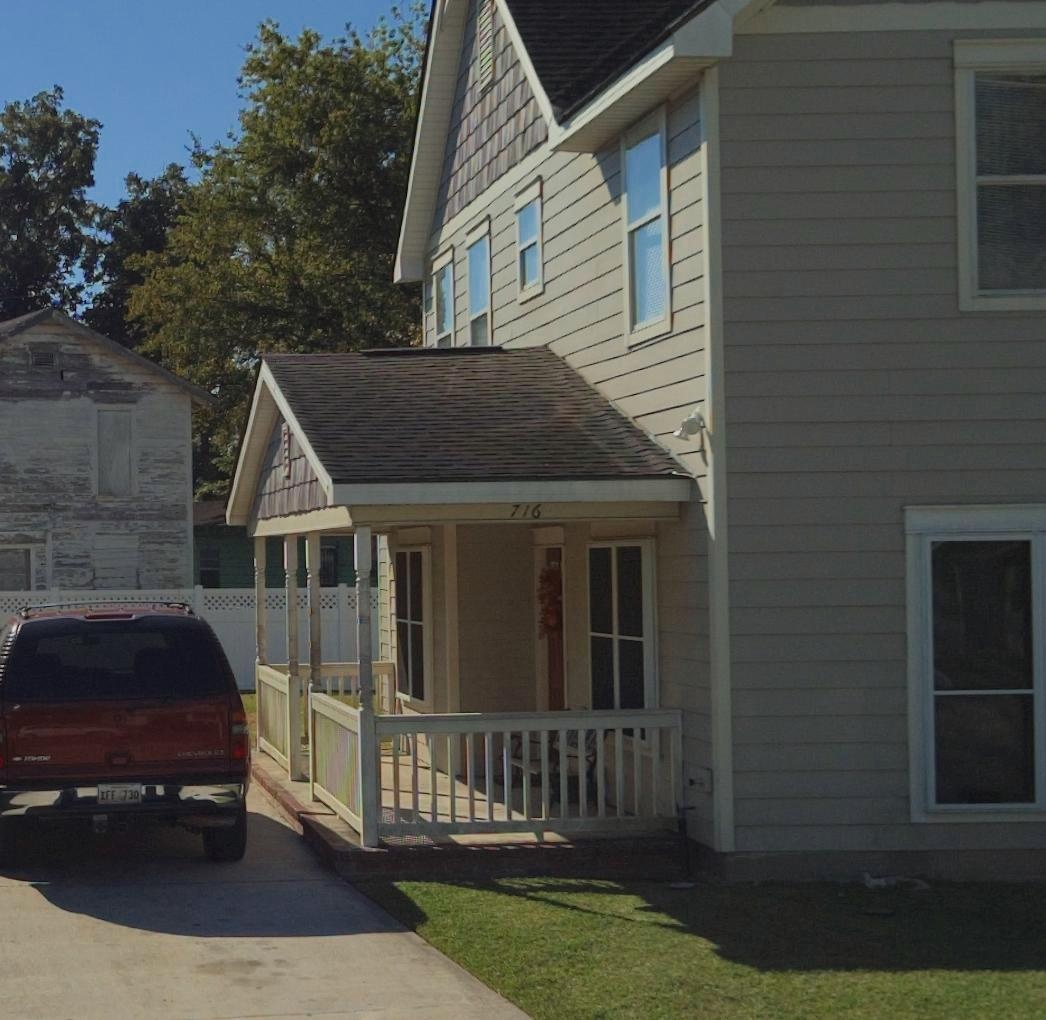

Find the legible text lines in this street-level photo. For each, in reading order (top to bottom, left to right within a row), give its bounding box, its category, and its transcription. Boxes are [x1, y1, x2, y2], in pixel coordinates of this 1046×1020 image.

[507, 502, 543, 521] StreetNumber: 716
[97, 788, 141, 804] None: XFF 730